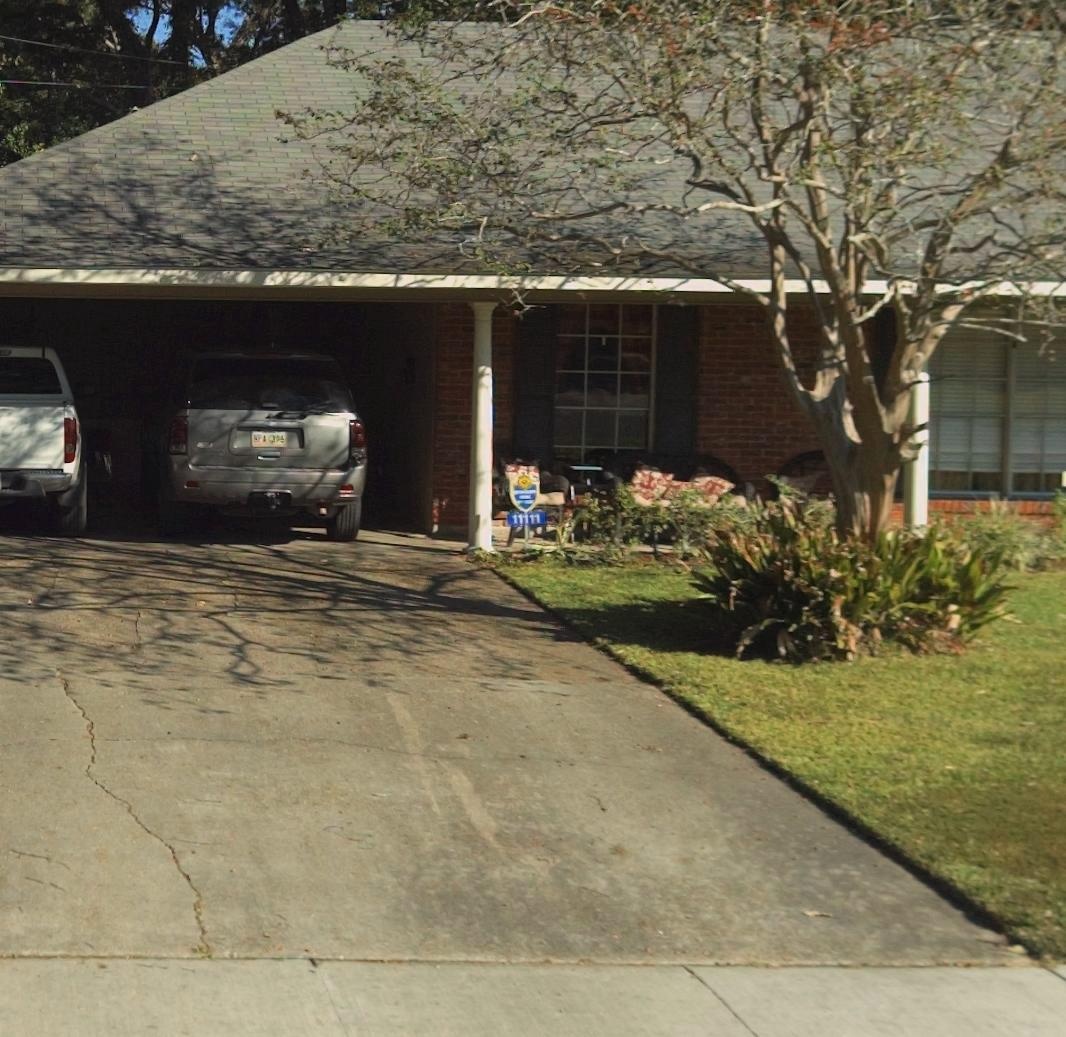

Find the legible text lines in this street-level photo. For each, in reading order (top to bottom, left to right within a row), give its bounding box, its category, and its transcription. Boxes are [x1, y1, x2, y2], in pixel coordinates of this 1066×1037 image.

[510, 511, 543, 526] StreetNumber: 11111